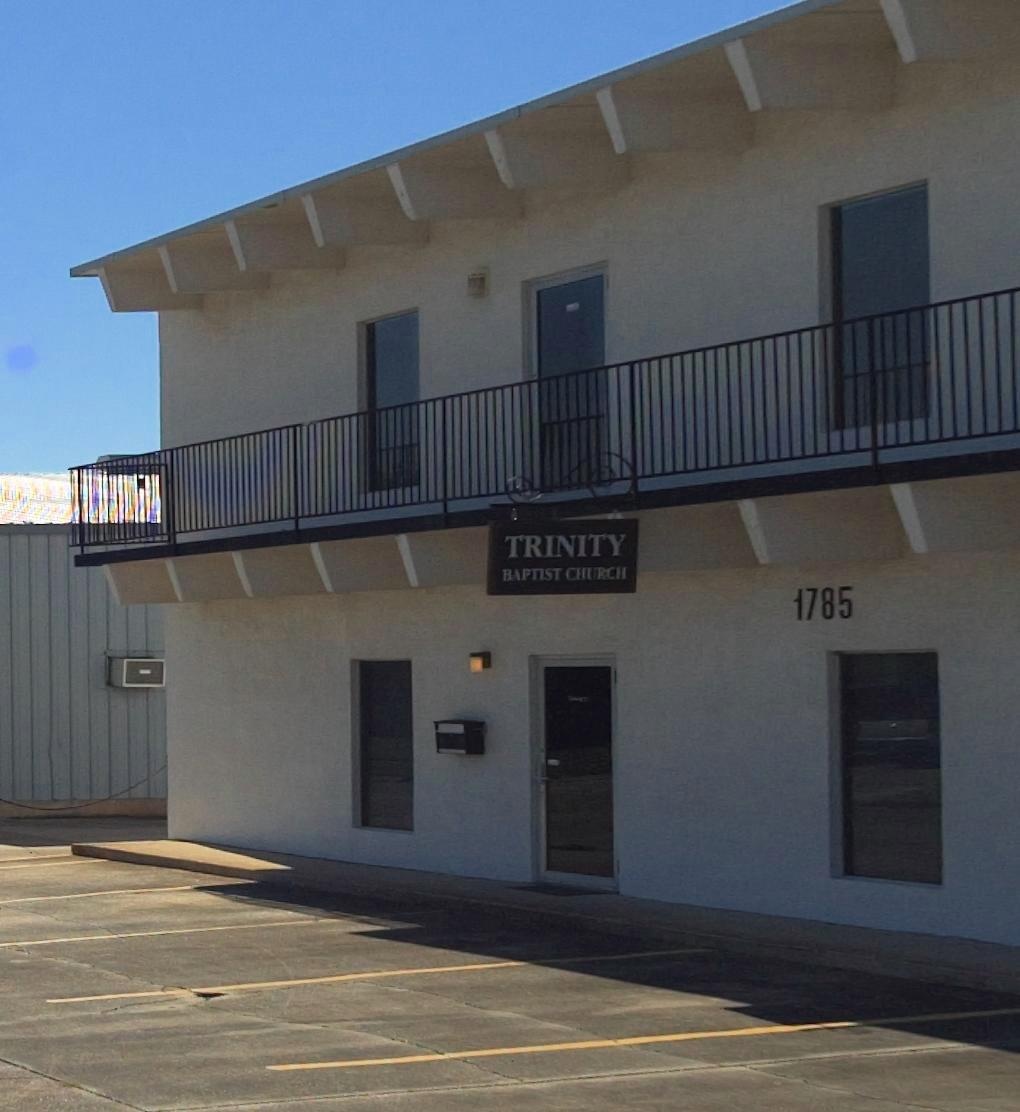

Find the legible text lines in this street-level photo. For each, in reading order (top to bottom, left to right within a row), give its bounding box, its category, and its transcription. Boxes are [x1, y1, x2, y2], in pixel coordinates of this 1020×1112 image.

[500, 531, 630, 562] BusinessName: TRINITY
[499, 563, 630, 584] BusinessName: BAPTIST CHURCH
[790, 582, 857, 624] StreetNumber: 1785